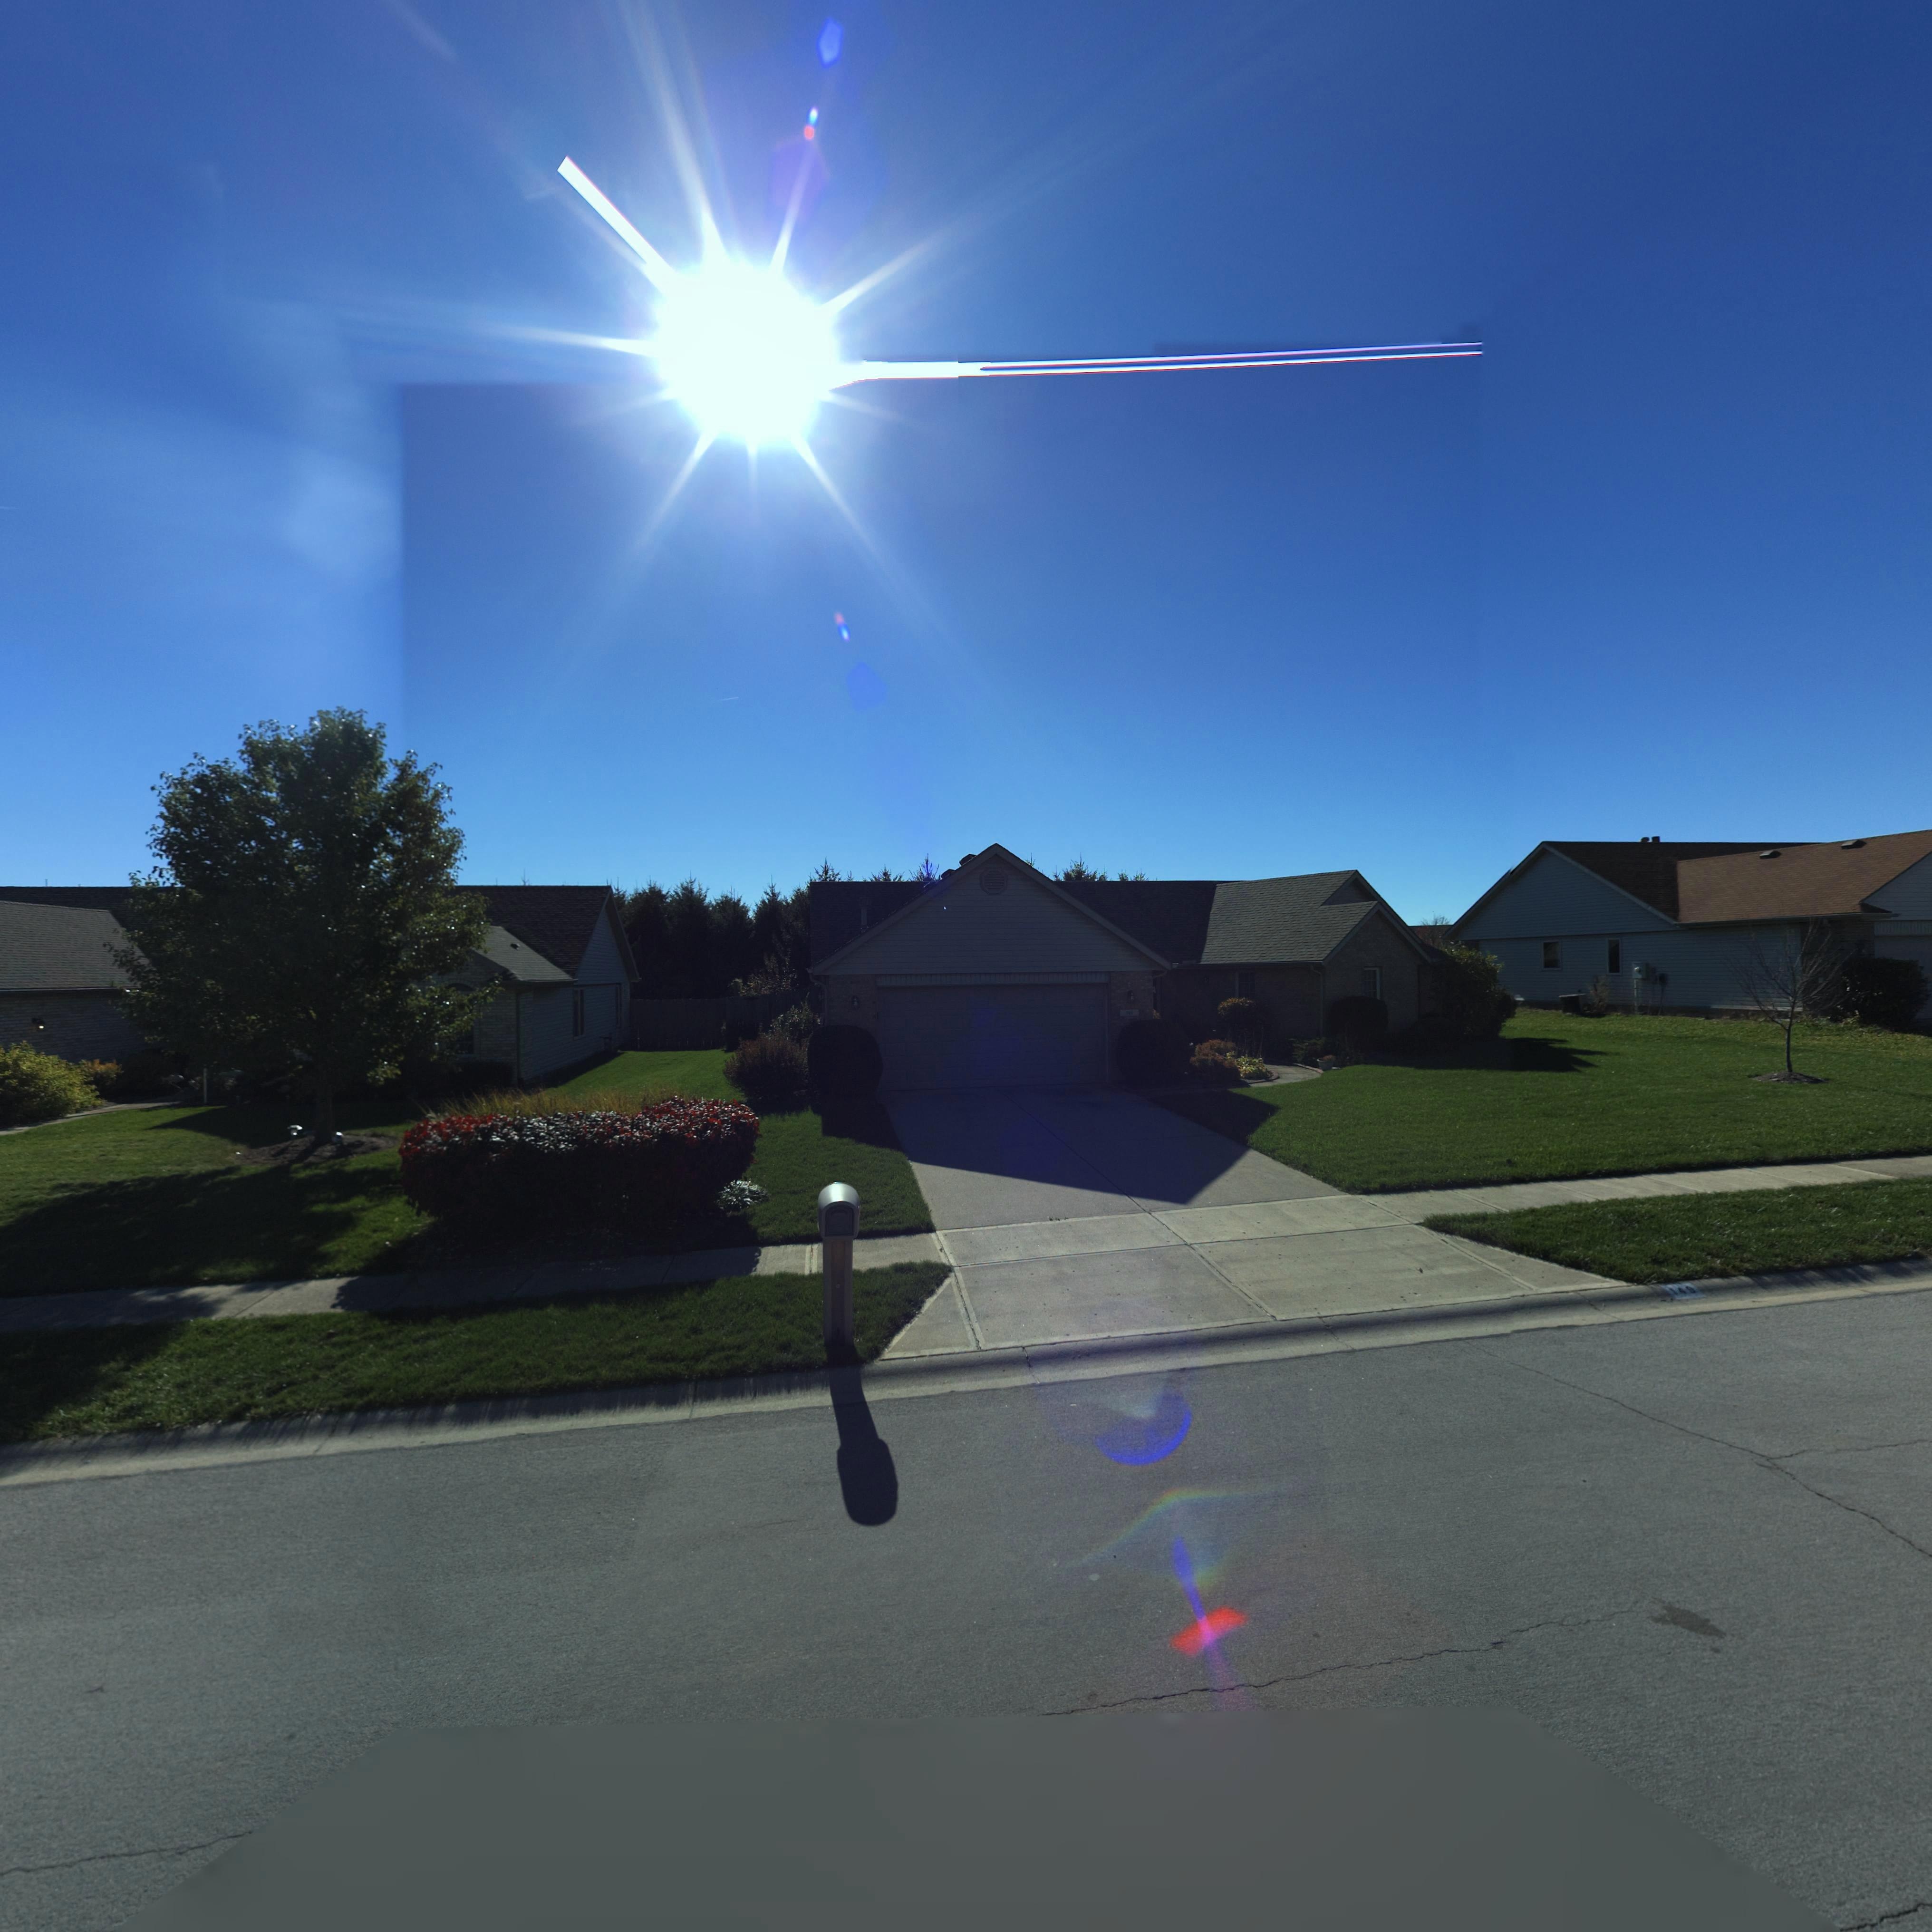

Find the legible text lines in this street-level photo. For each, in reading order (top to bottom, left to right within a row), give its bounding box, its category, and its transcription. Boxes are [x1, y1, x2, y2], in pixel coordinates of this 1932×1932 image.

[1126, 1010, 1133, 1015] StreetNumber: 14*
[1667, 1285, 1698, 1295] StreetNumber: 149